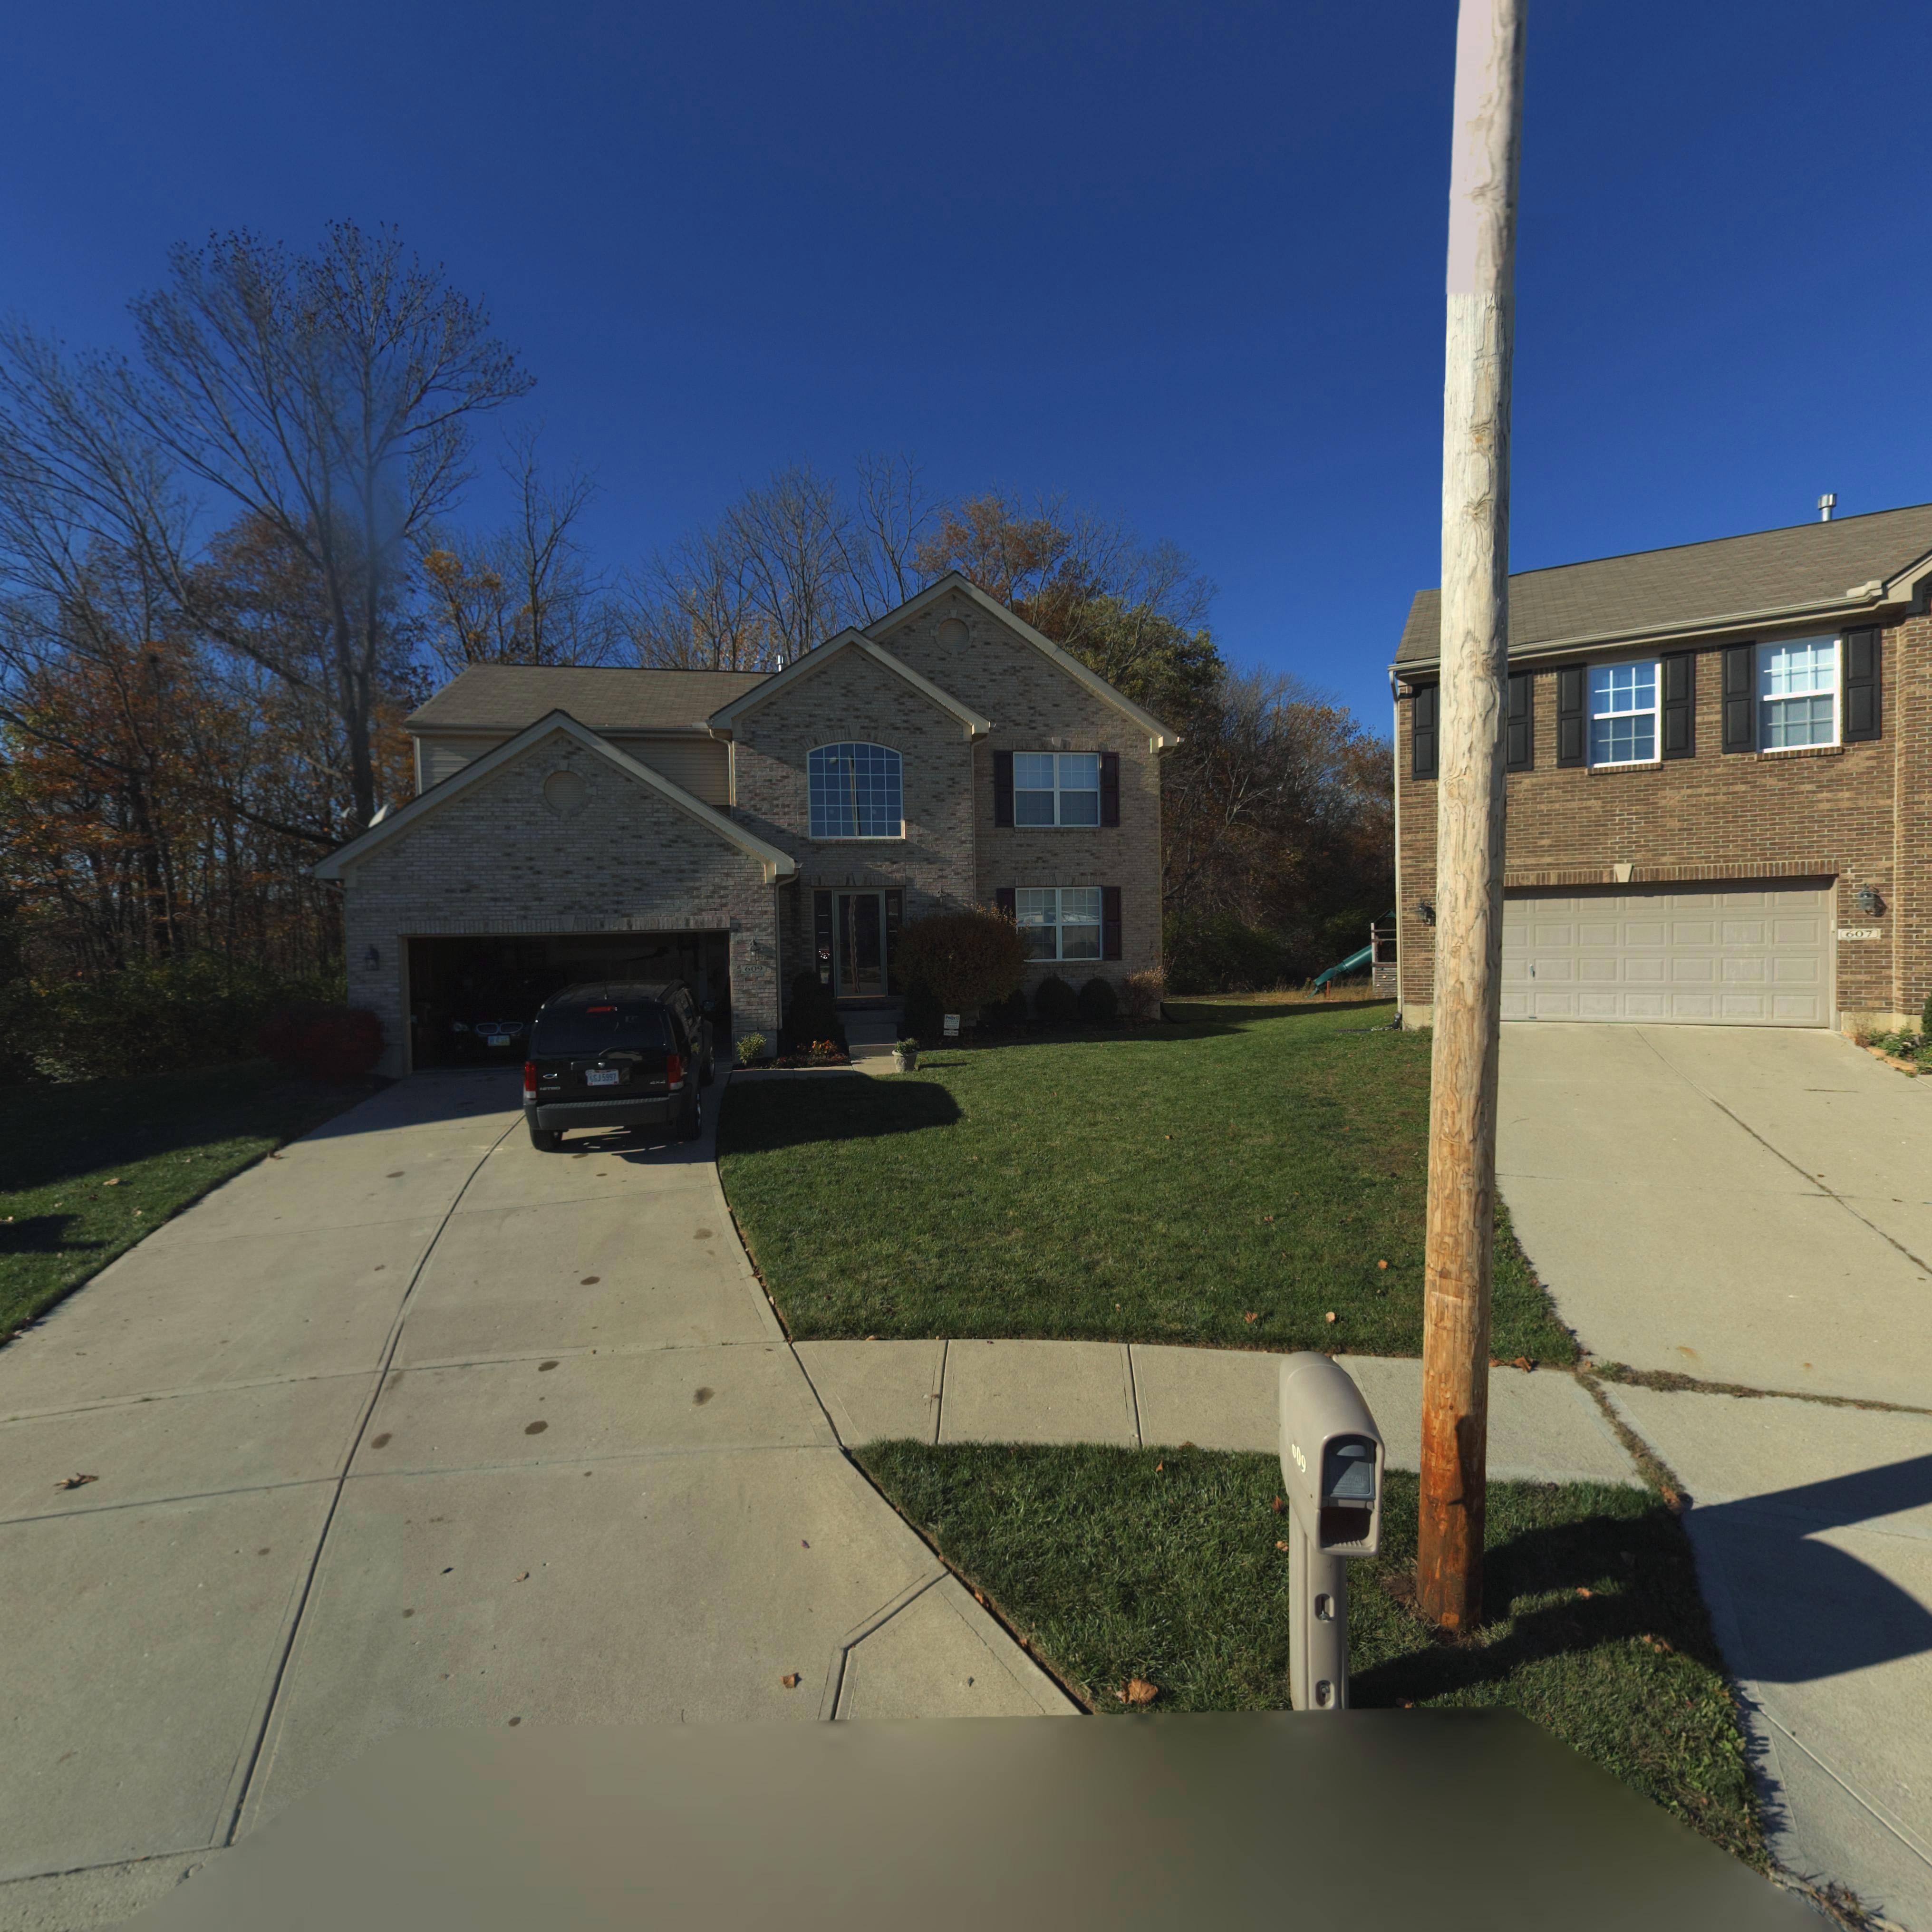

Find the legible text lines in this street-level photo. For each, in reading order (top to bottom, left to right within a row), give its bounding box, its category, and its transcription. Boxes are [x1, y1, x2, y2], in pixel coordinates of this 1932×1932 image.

[1845, 929, 1874, 938] StreetNumber: 607
[744, 965, 763, 973] StreetNumber: 609
[1291, 1438, 1307, 1474] StreetNumber: 609